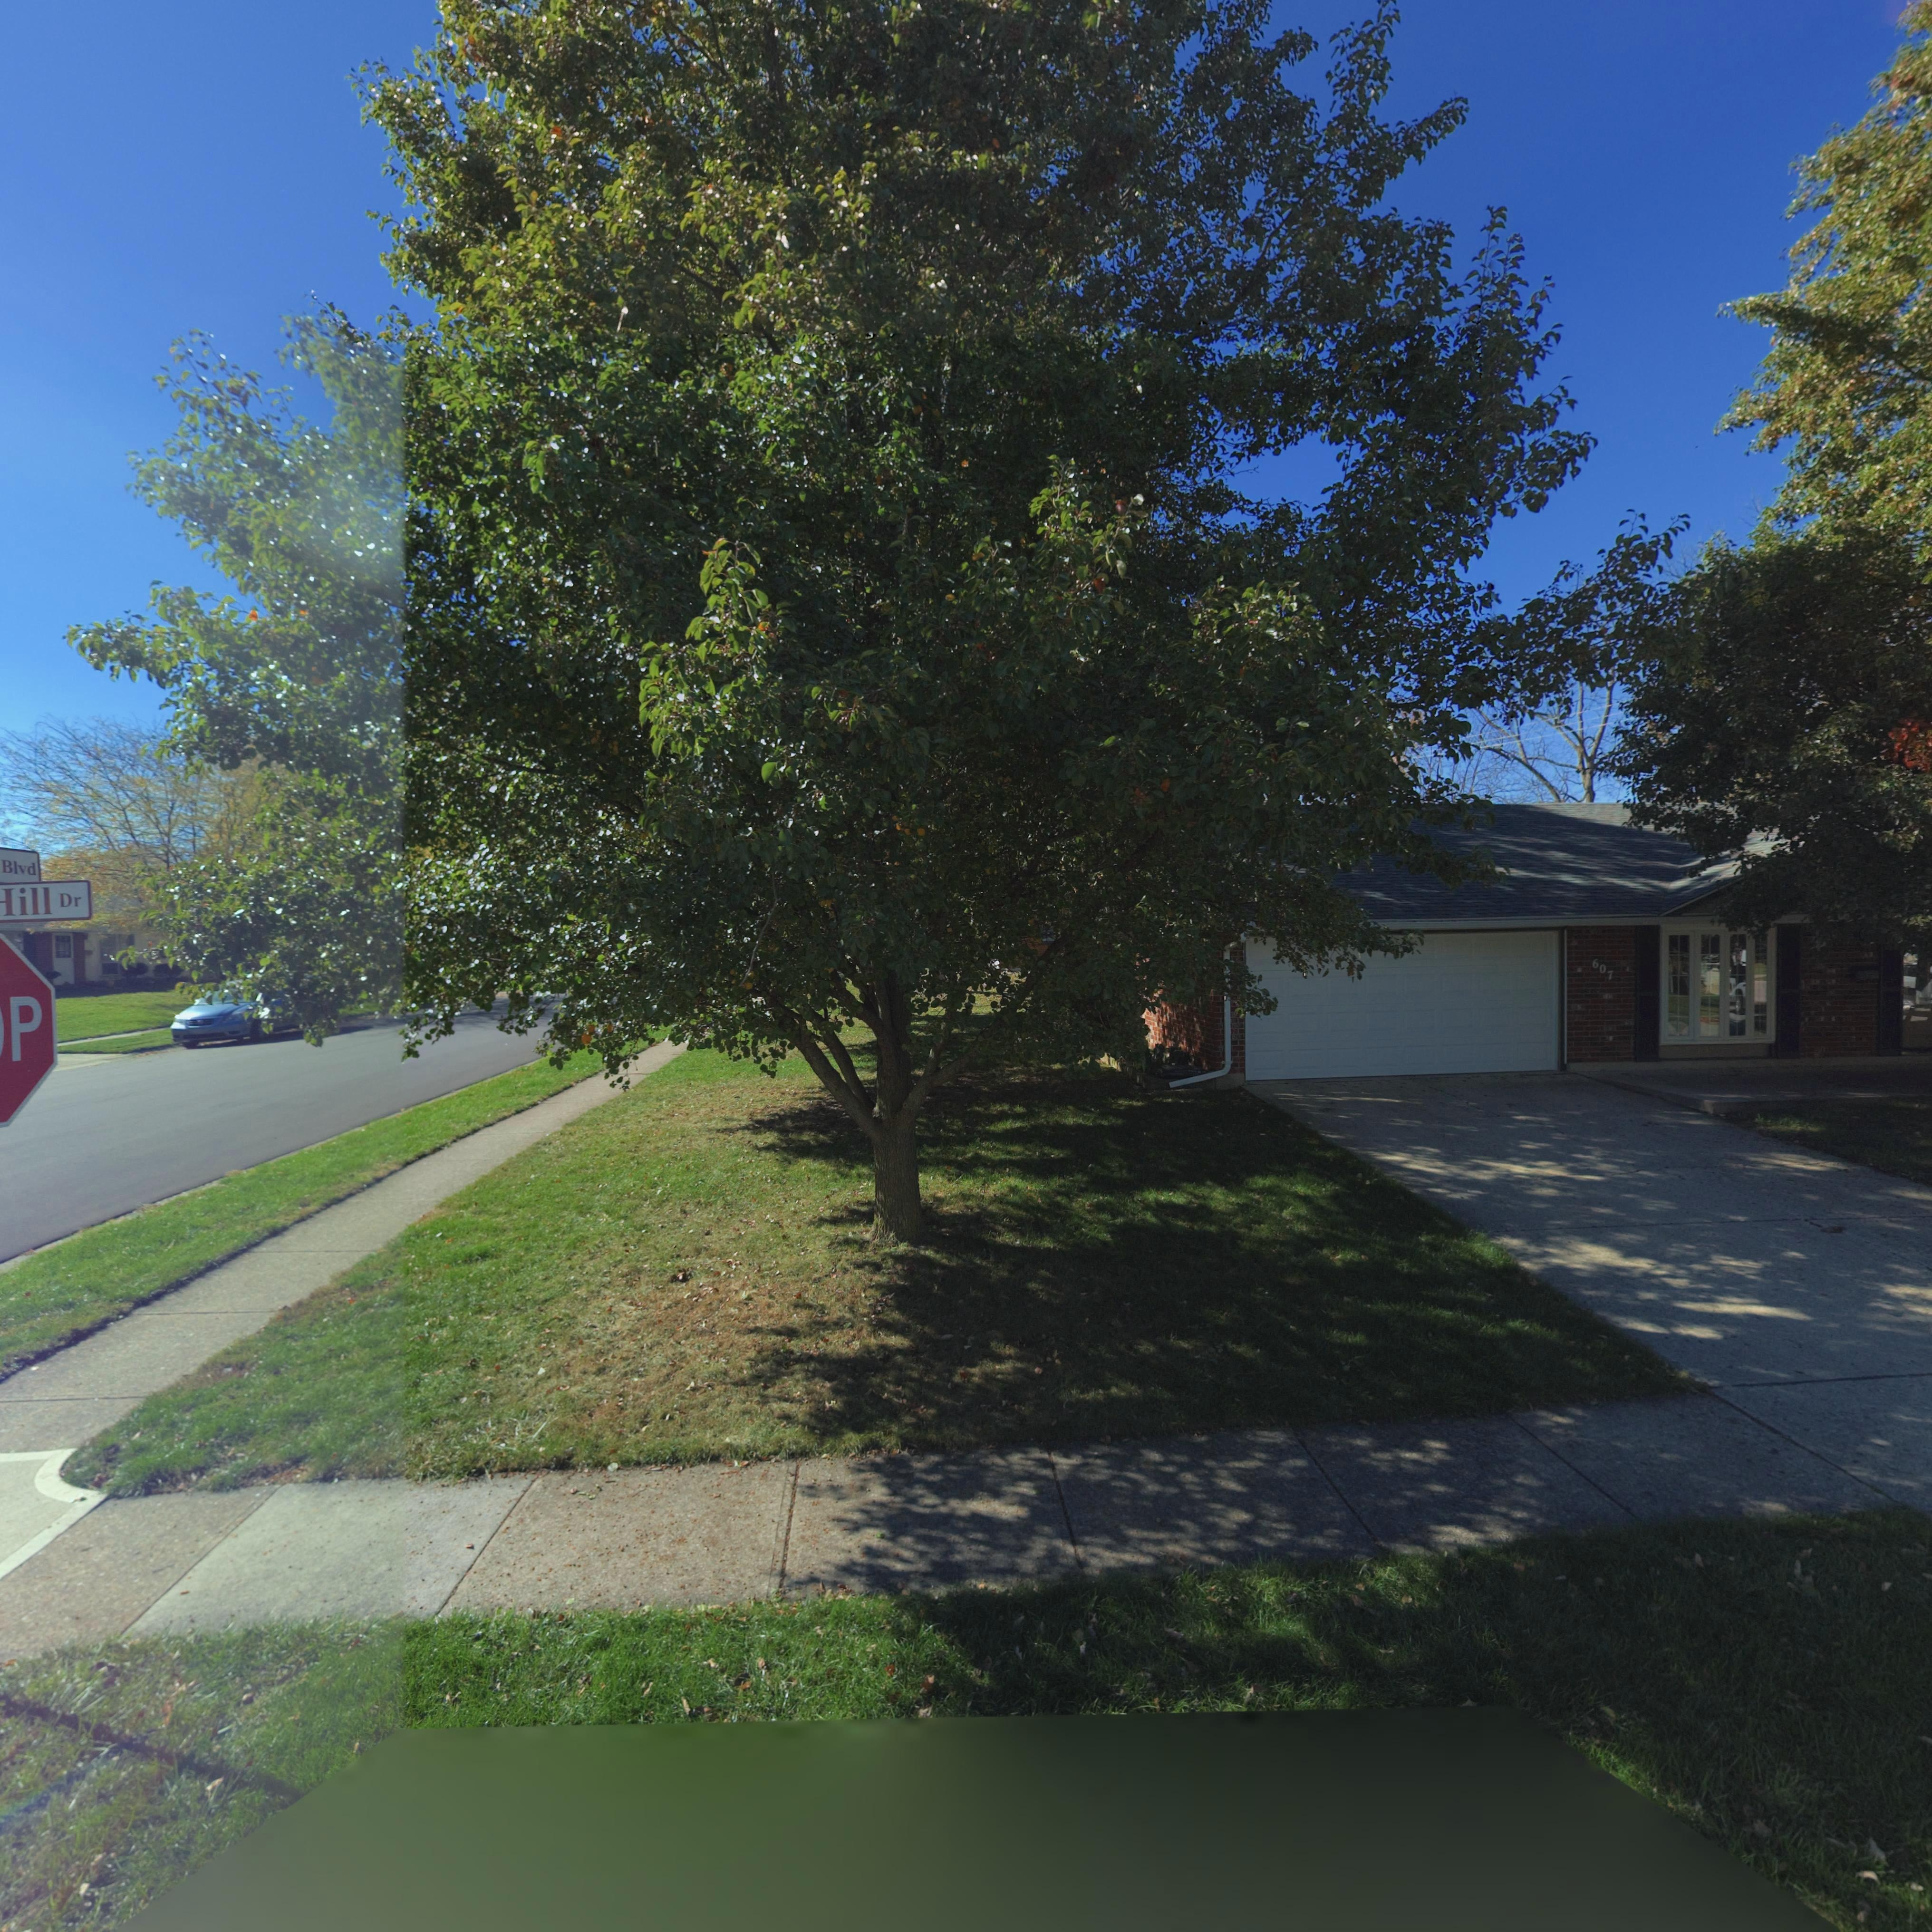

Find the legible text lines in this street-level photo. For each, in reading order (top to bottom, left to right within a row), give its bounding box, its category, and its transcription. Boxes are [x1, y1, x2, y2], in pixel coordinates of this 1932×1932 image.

[1592, 958, 1615, 981] StreetNumber: 607